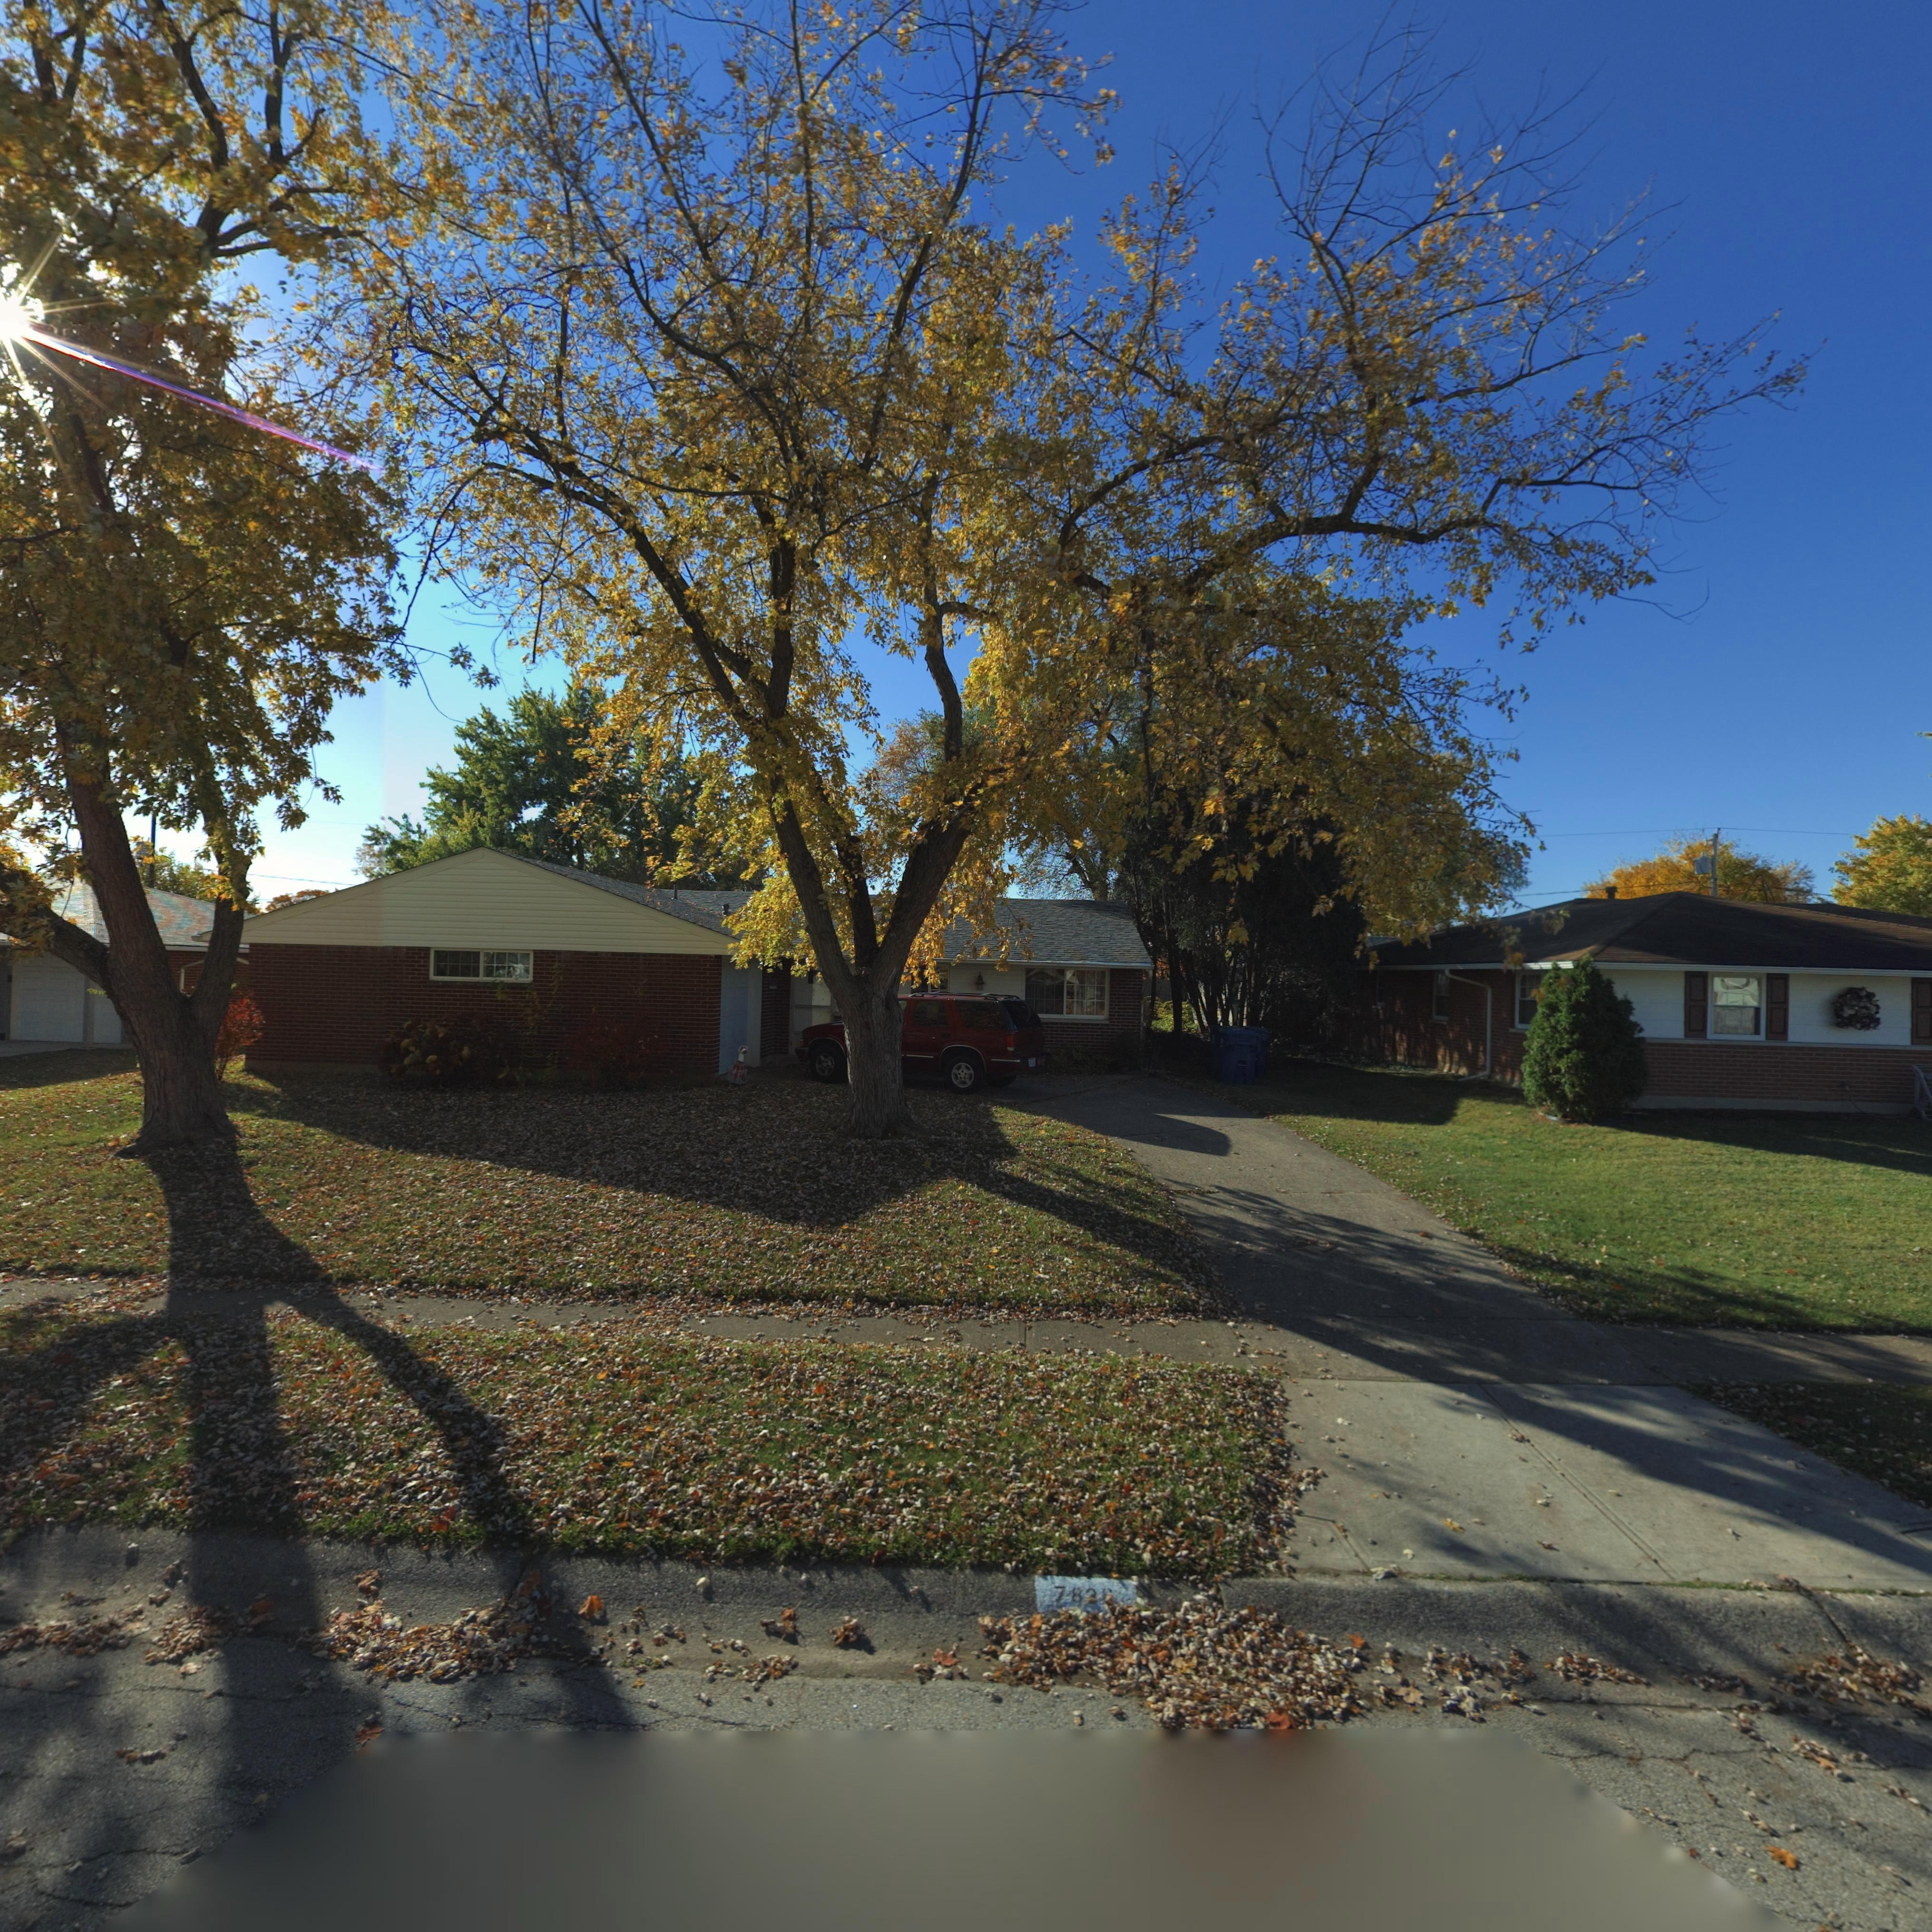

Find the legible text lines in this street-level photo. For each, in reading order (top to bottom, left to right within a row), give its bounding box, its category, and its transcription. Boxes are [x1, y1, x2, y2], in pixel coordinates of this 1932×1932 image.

[1053, 1584, 1099, 1605] StreetNumber: 783